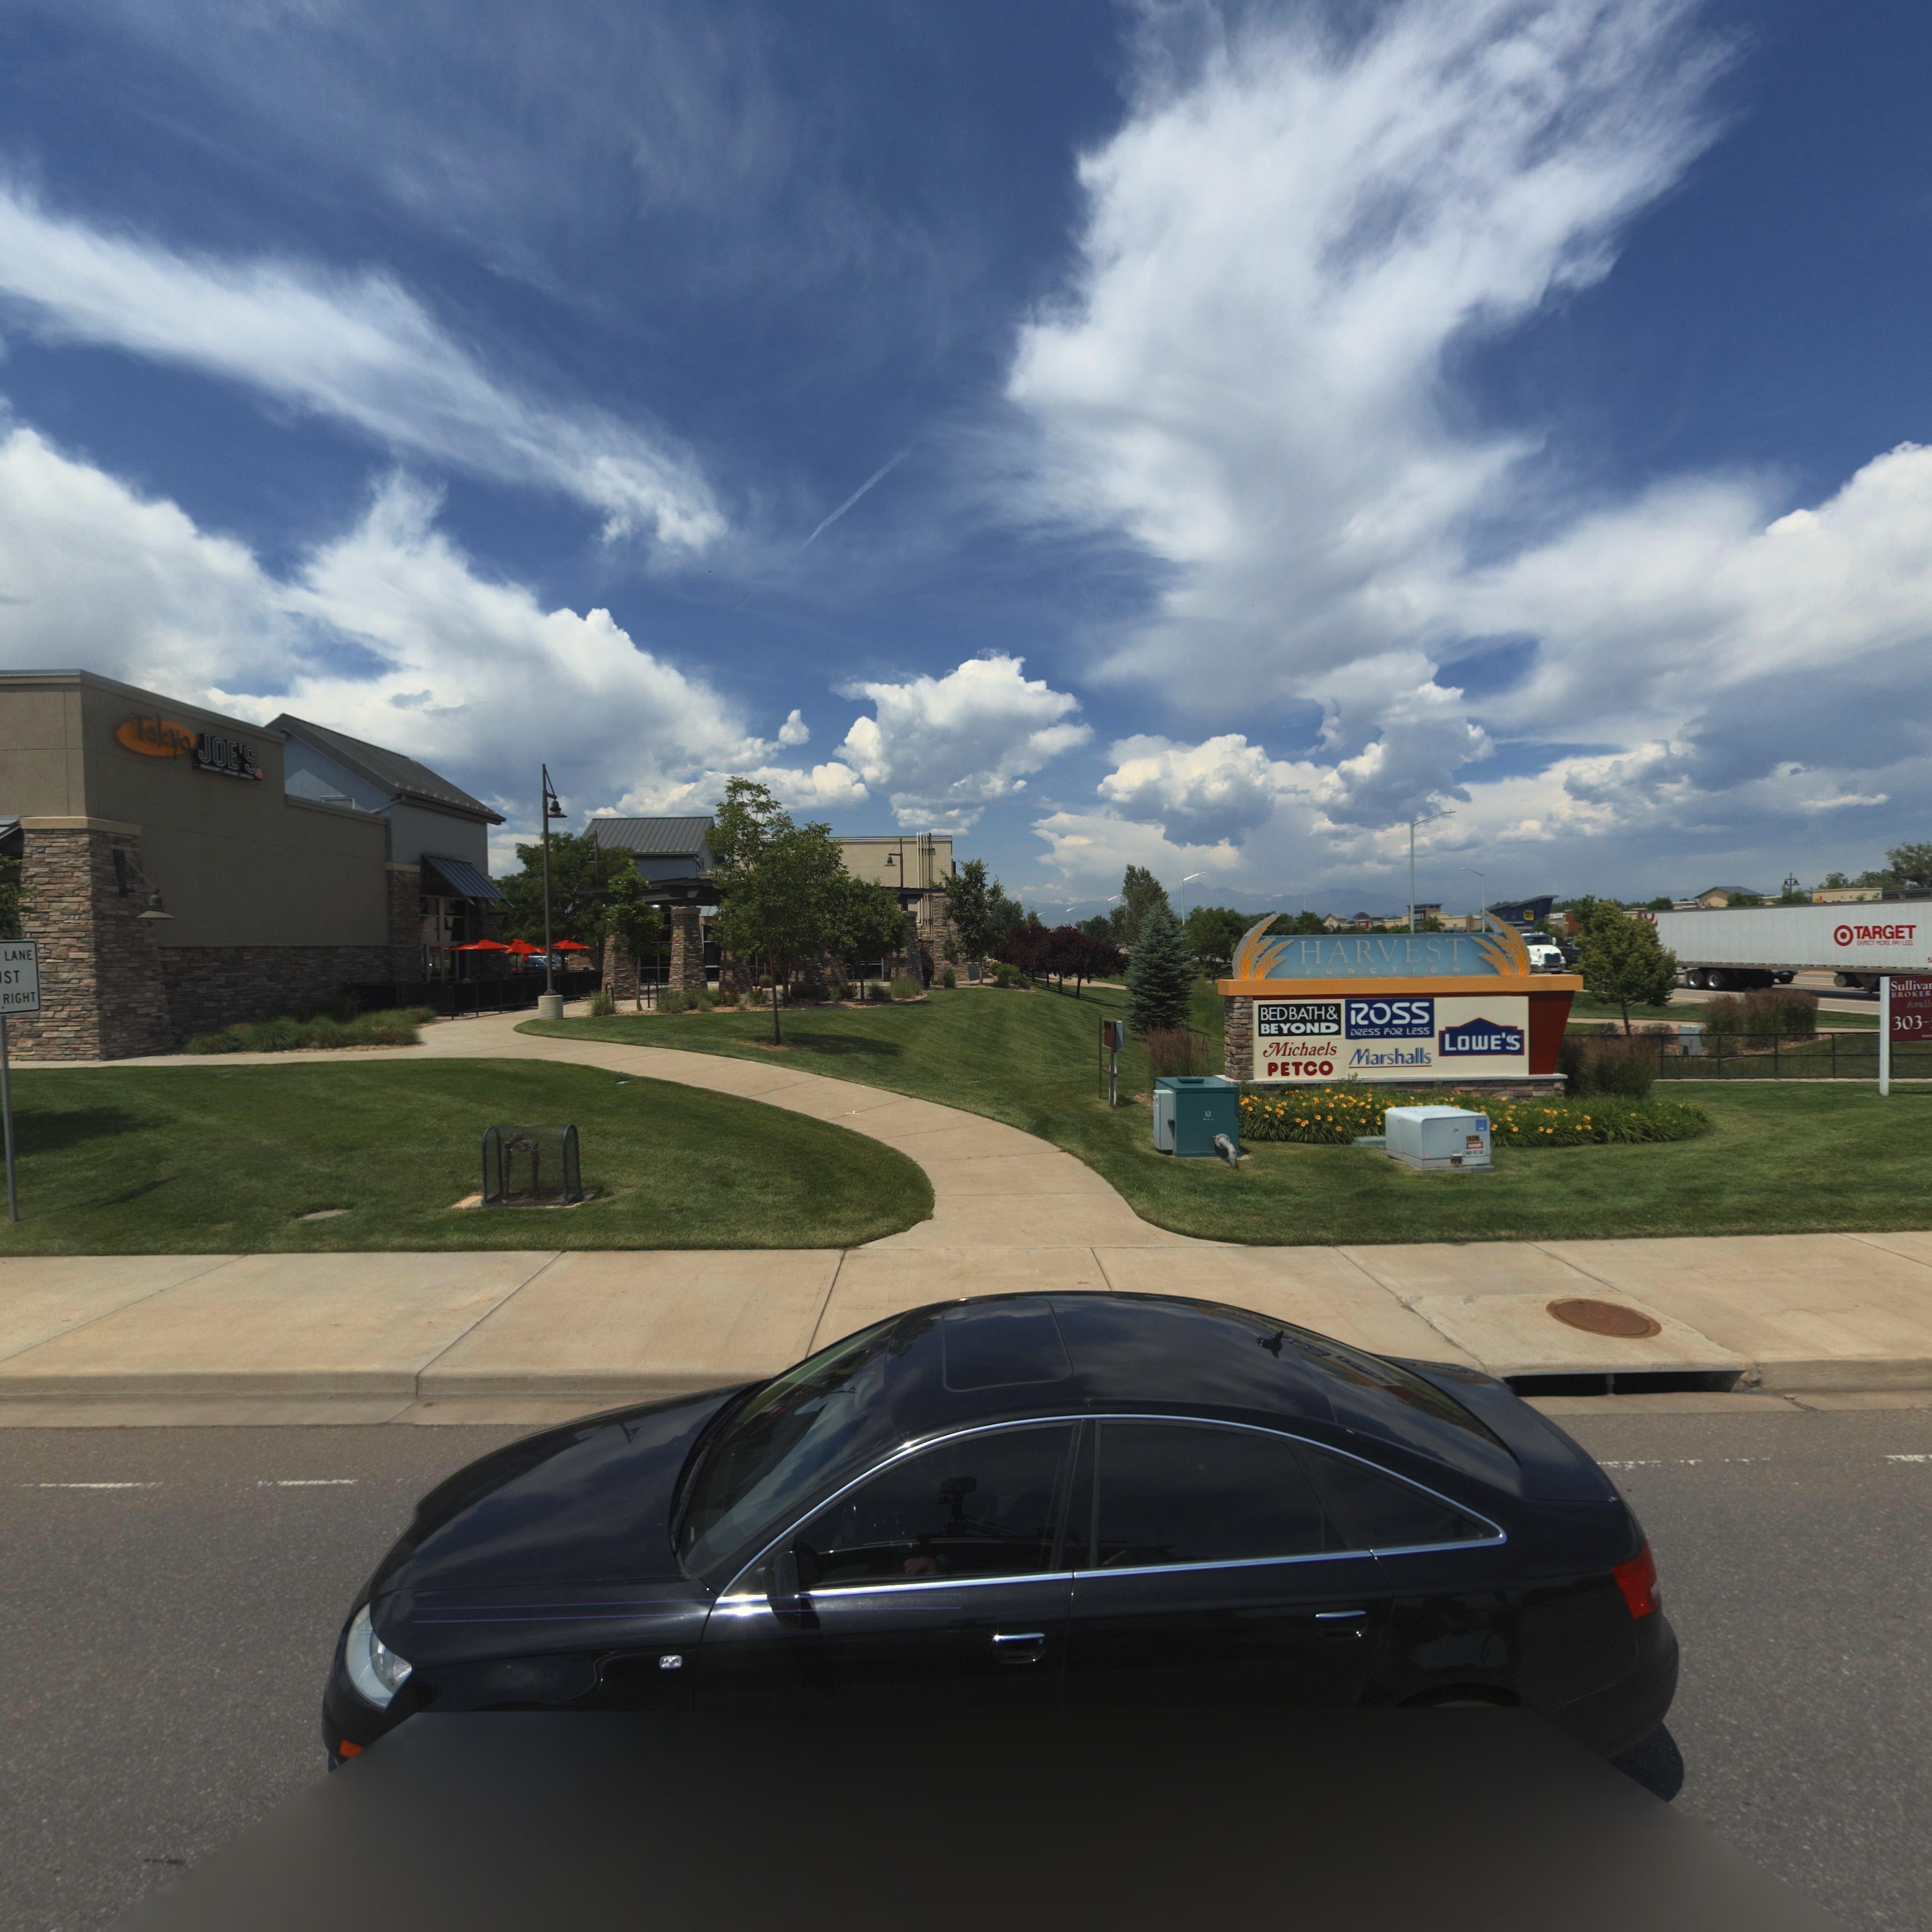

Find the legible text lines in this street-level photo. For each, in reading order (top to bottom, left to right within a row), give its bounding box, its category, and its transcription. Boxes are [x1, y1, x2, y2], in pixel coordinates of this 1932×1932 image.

[129, 709, 192, 763] BusinessName: Tokyo
[196, 733, 258, 774] BusinessName: JOE'S
[1413, 912, 1424, 919] BusinessName: *CKS
[1525, 911, 1534, 915] BusinessName: **ST
[1525, 914, 1534, 918] BusinessName: *UY
[1260, 1005, 1339, 1020] BusinessName: BED BATH *
[1350, 1001, 1430, 1025] BusinessName: ROSS
[1260, 1021, 1339, 1034] BusinessName: BEYOND
[1262, 1040, 1337, 1057] BusinessName: Michaels
[1347, 1047, 1432, 1065] BusinessName: Marshalls
[1444, 1031, 1520, 1051] BusinessName: LOWE'*S
[1267, 1060, 1333, 1077] BusinessName: PETCO